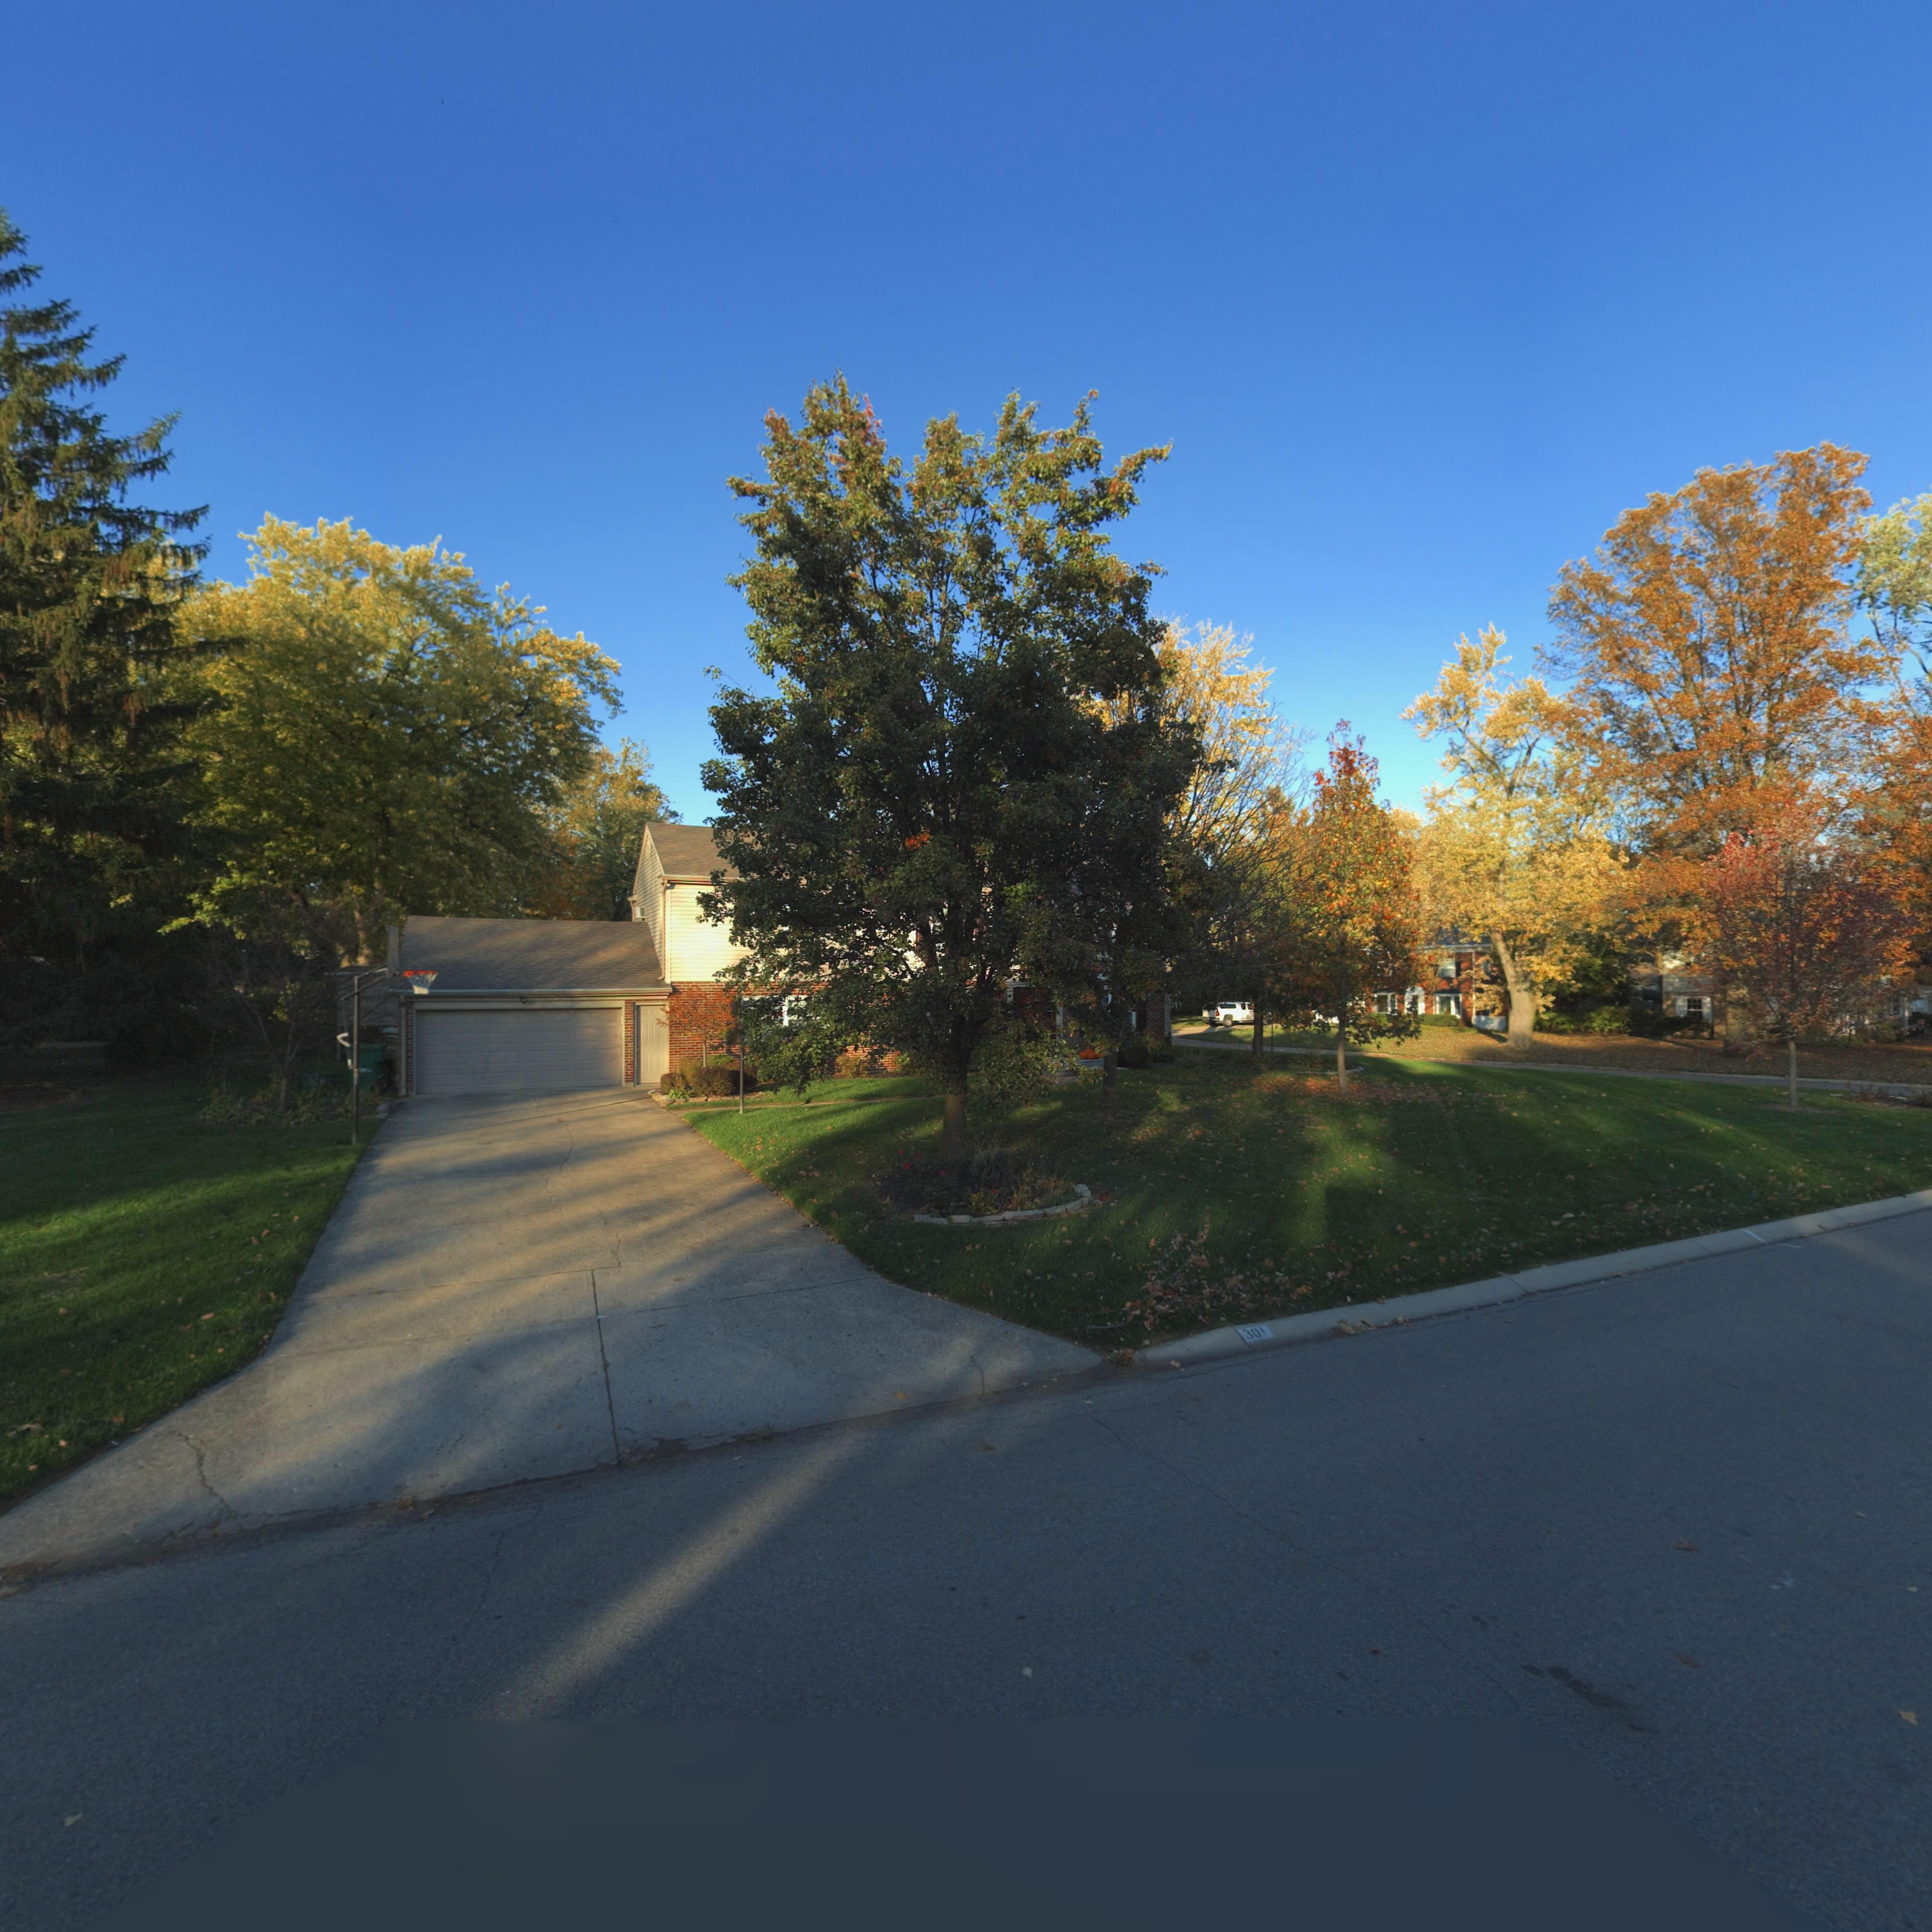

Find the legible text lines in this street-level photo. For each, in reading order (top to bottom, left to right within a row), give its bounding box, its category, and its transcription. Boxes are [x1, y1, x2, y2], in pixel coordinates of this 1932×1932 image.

[1241, 1324, 1270, 1341] StreetNumber: 301